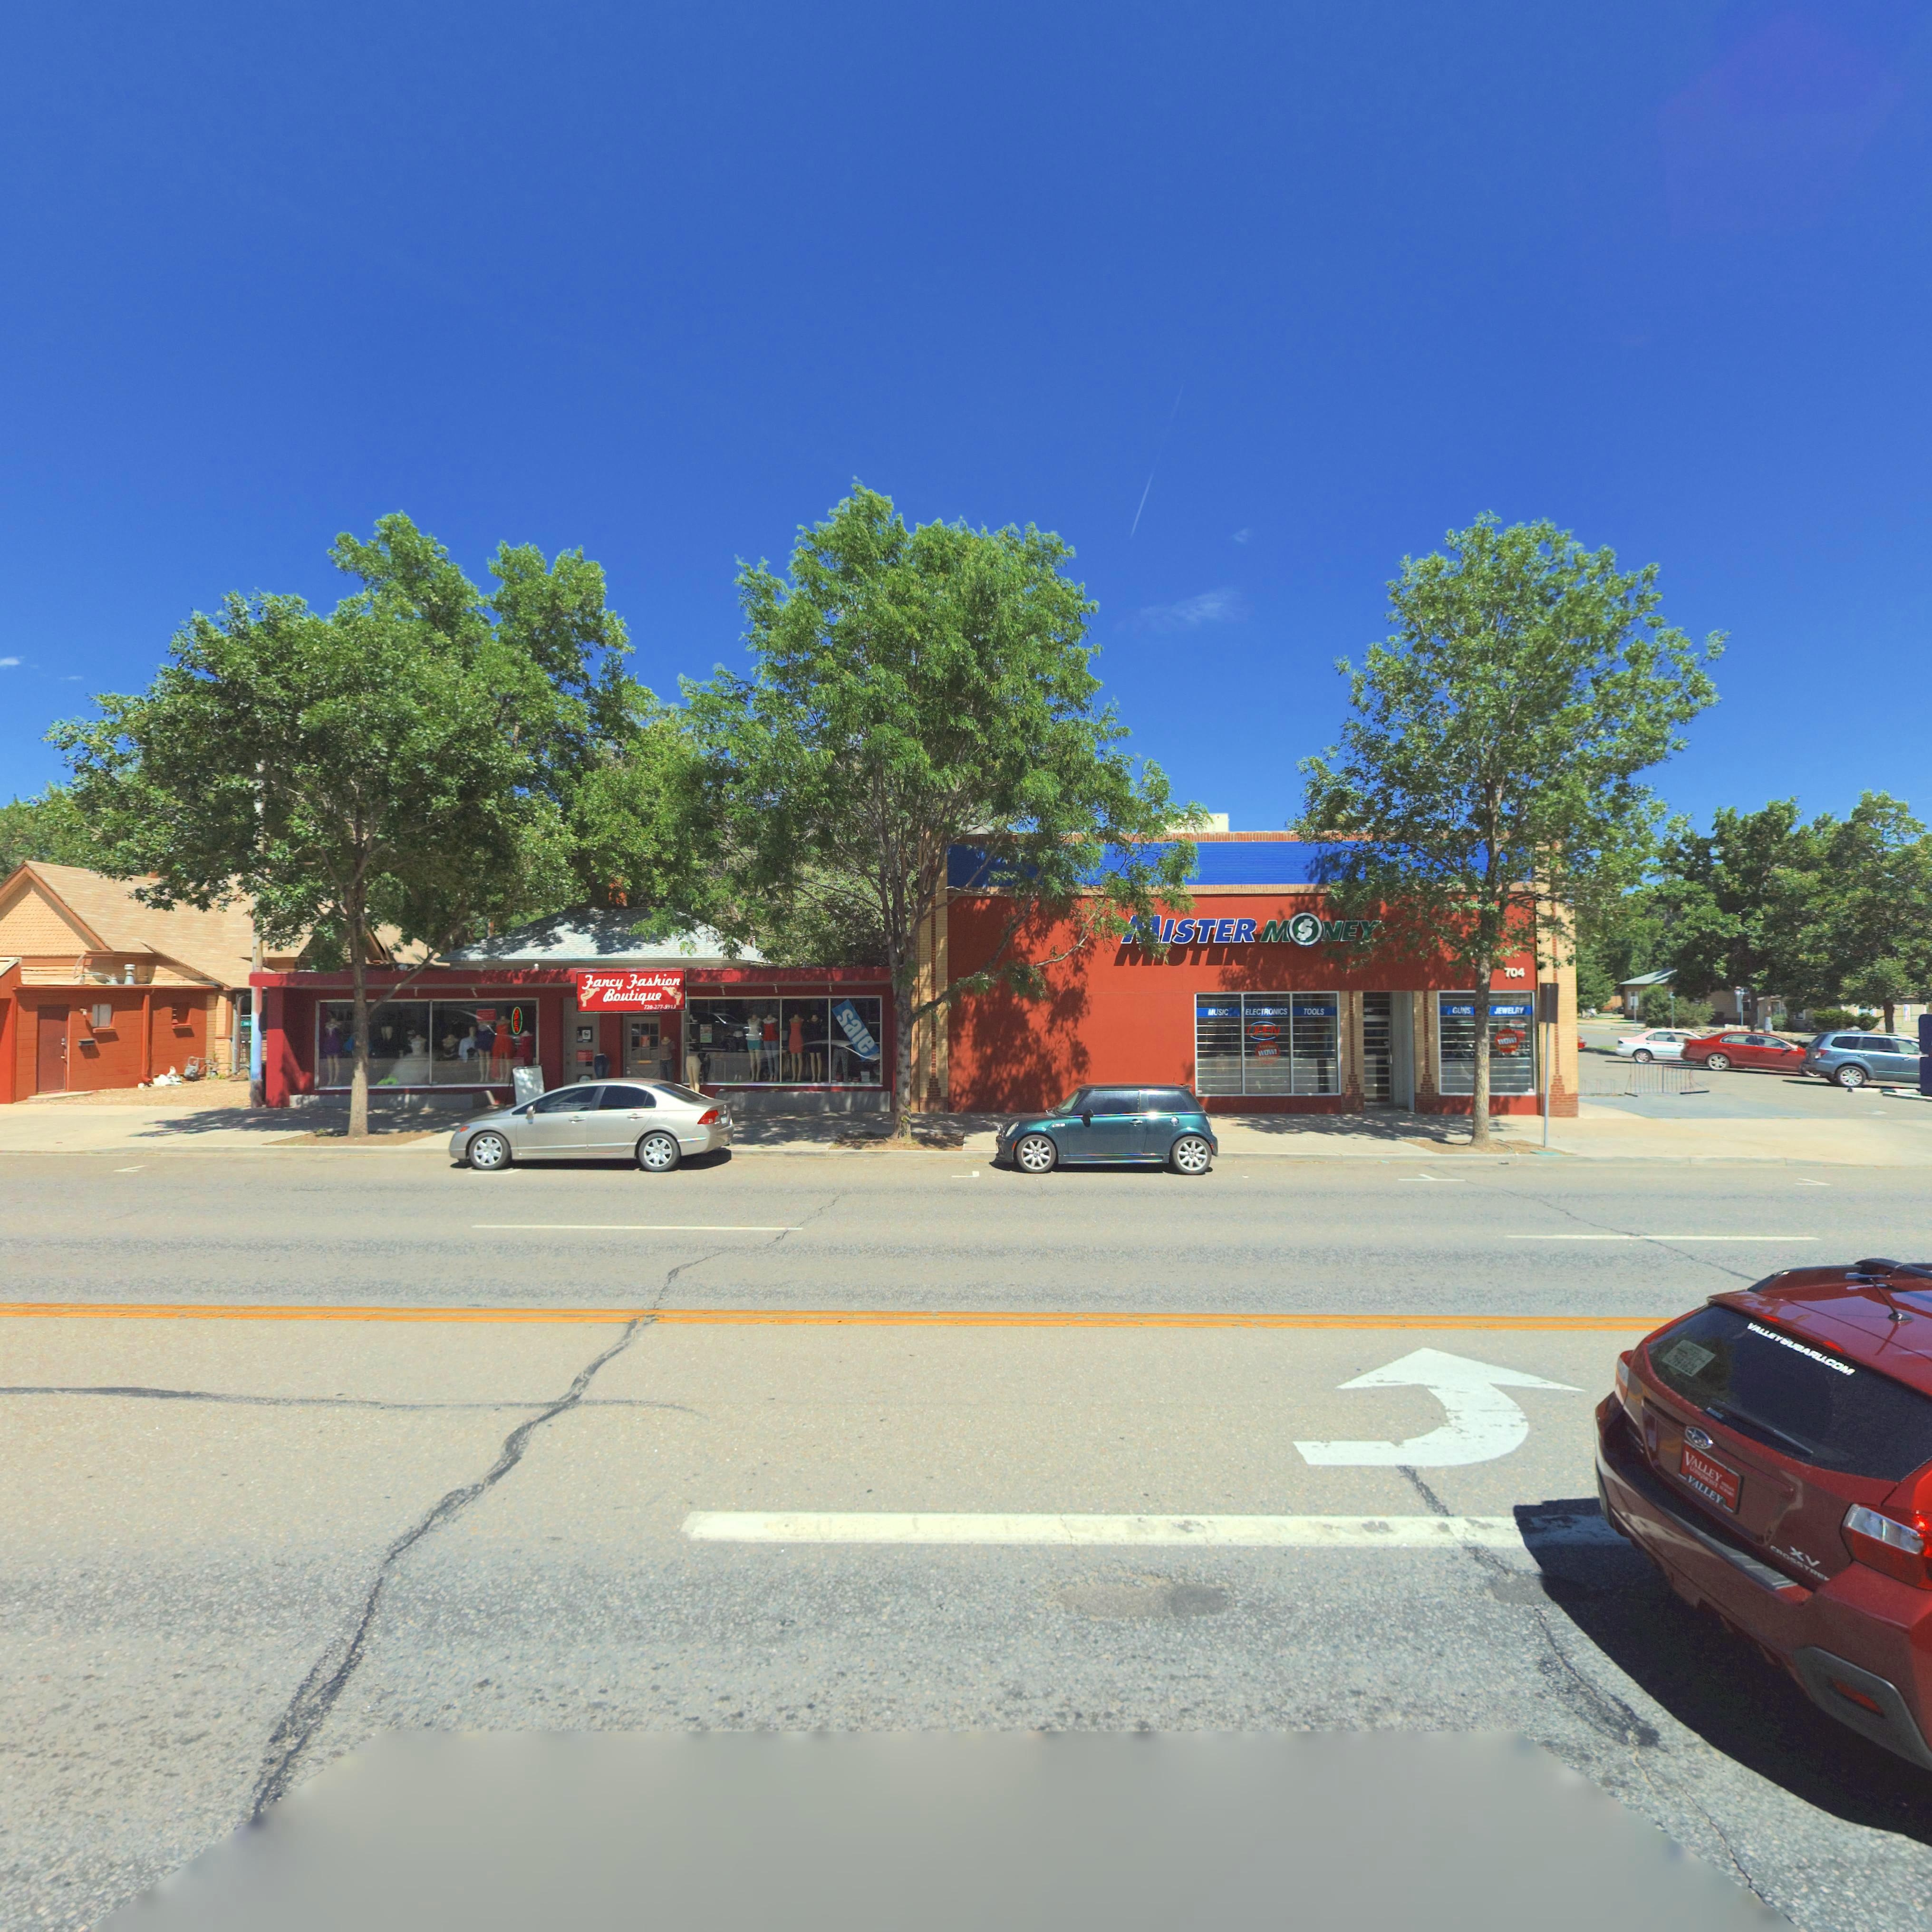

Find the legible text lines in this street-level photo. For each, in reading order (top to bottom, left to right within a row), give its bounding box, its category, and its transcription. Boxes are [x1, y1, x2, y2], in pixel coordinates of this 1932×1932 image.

[1119, 914, 1382, 944] BusinessName: *ISTER  M*NEY
[1503, 967, 1525, 977] StreetNumber: 704
[581, 973, 680, 990] BusinessName: Fancy Fashion
[602, 988, 662, 1005] BusinessName: Boutique
[1363, 1007, 1373, 1012] StreetNumber: *04